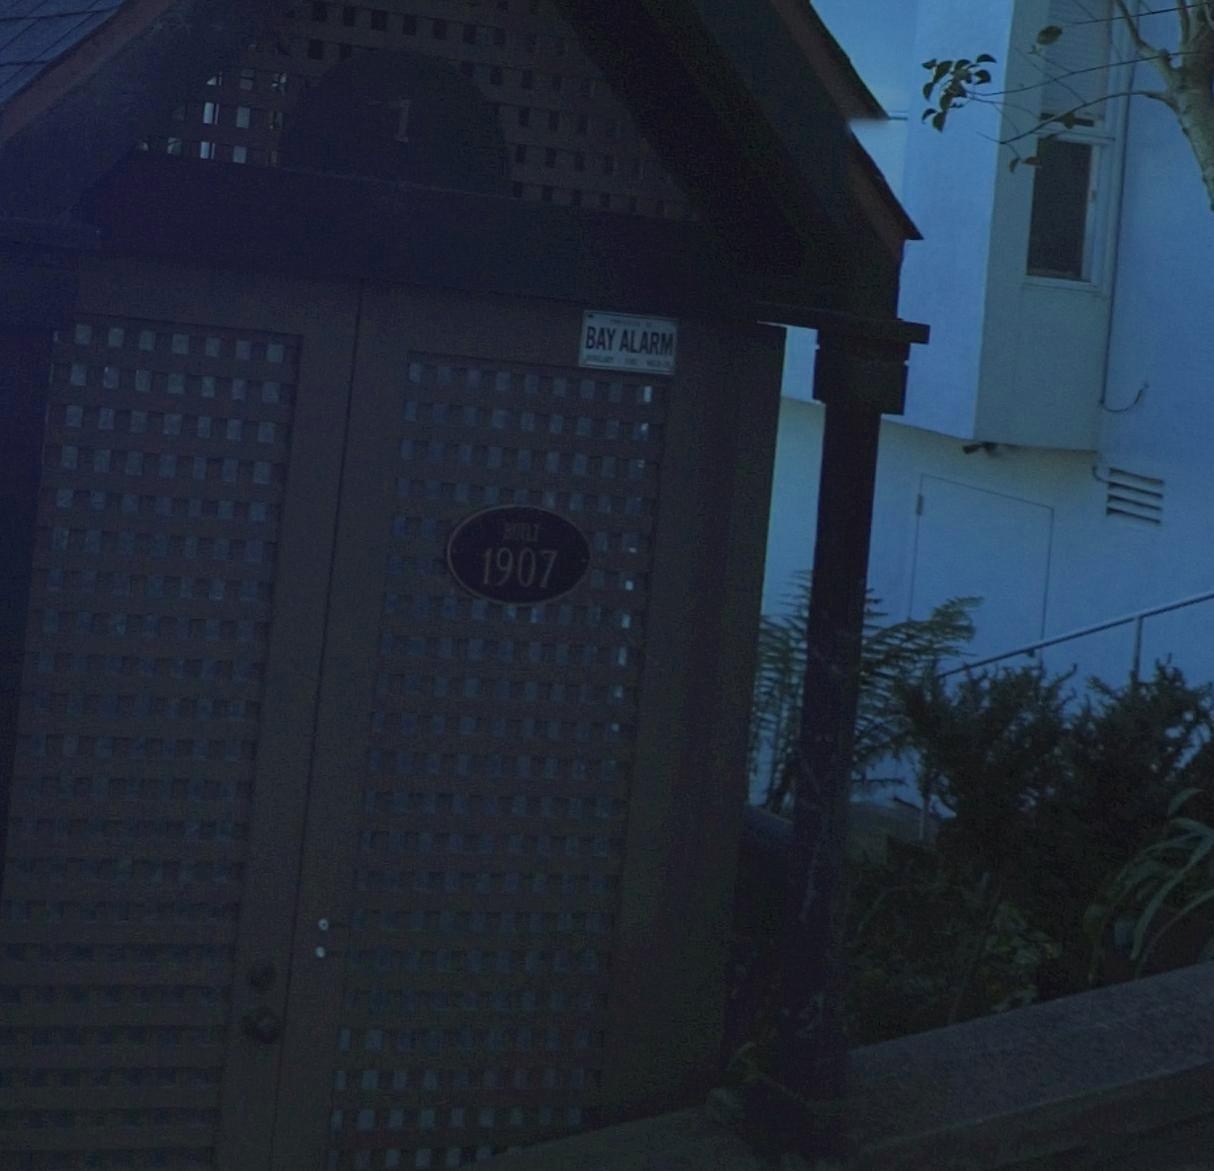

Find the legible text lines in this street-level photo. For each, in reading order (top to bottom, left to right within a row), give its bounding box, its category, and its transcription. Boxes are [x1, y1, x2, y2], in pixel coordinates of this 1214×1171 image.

[390, 95, 414, 147] None: 1
[584, 324, 675, 358] None: BAY ALARM
[501, 519, 542, 543] None: BUILT
[475, 545, 564, 592] None: 1907